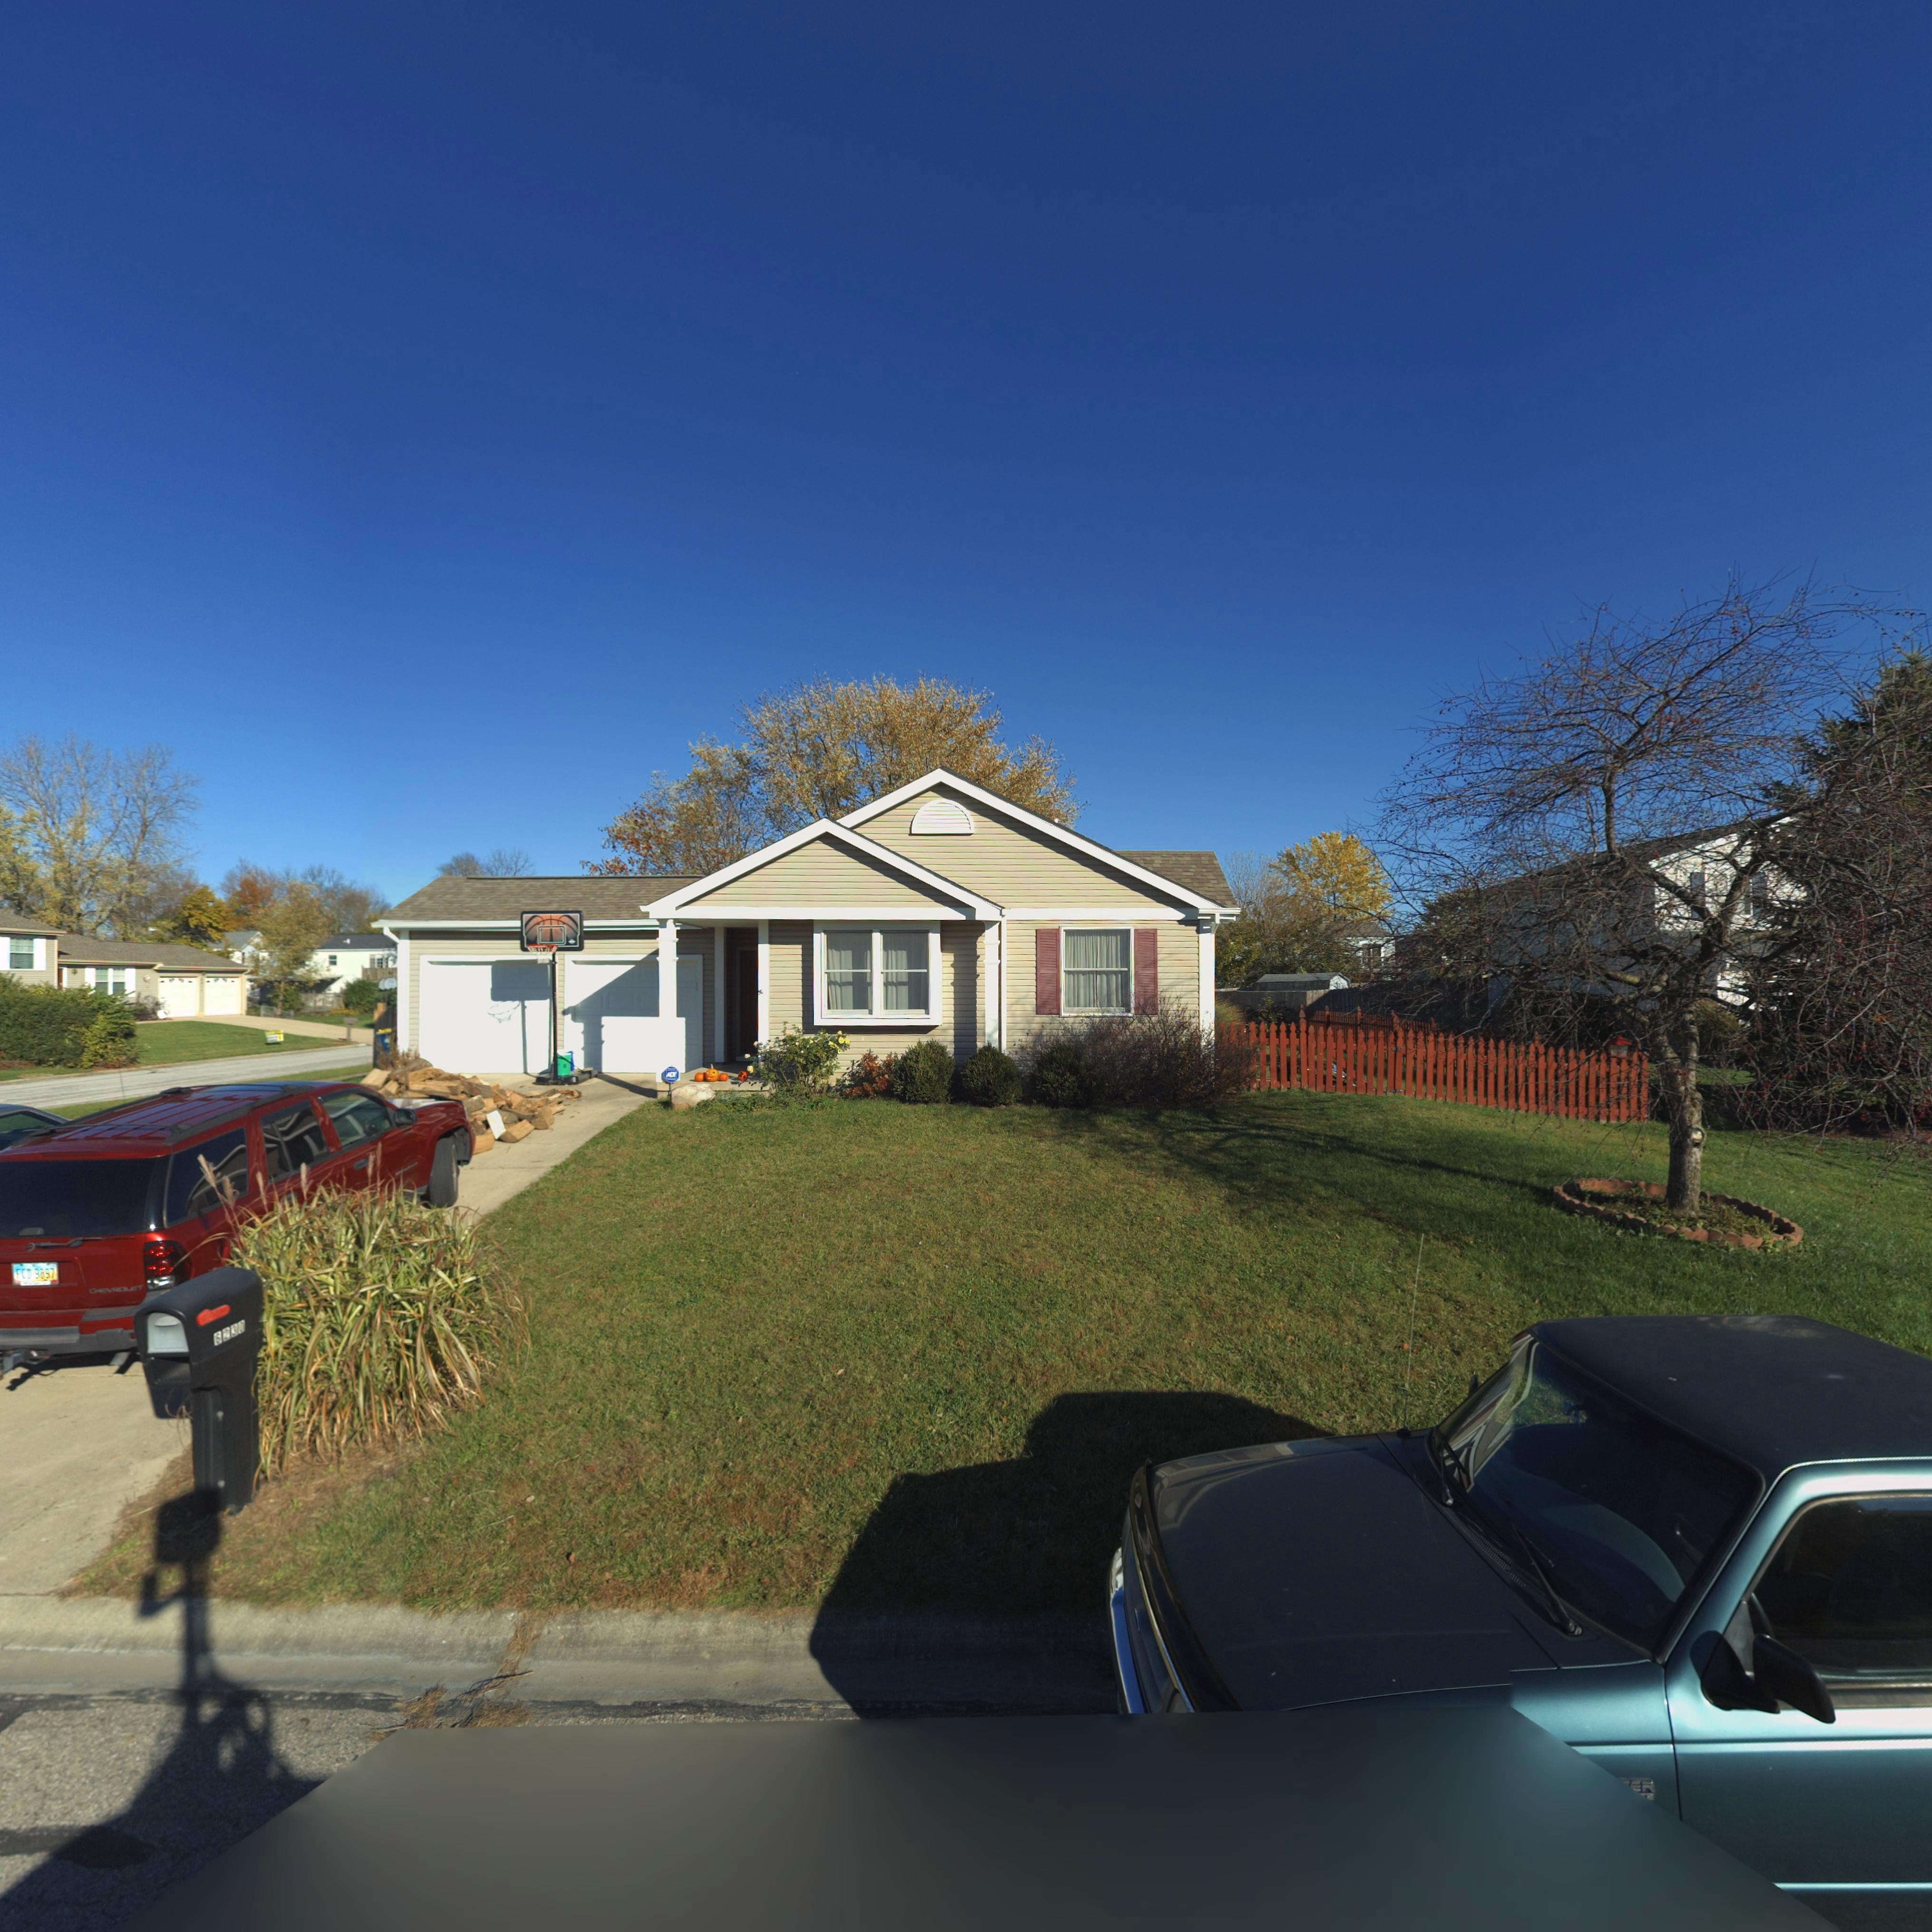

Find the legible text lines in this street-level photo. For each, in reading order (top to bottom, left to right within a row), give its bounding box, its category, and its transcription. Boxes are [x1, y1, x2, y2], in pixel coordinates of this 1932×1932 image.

[213, 1319, 246, 1348] StreetNumber: 6230